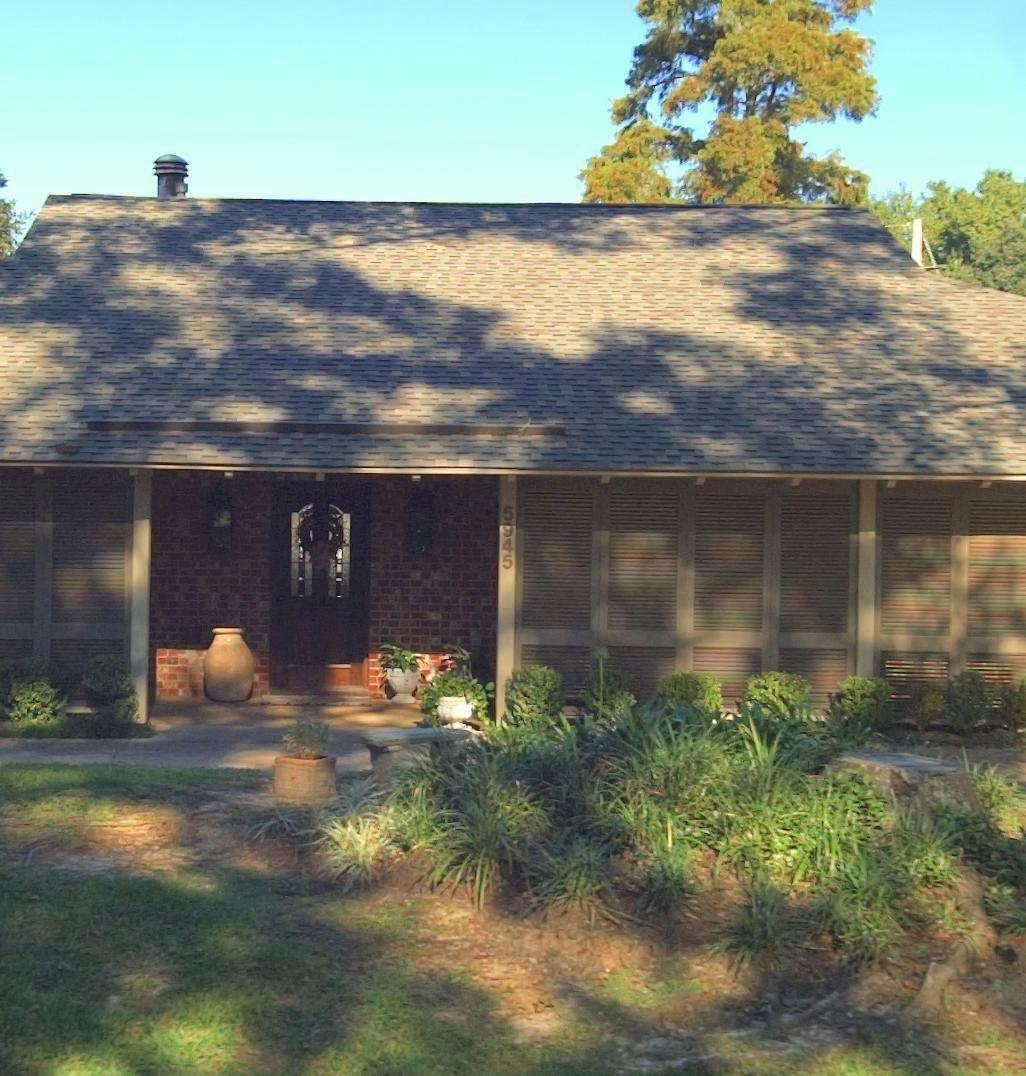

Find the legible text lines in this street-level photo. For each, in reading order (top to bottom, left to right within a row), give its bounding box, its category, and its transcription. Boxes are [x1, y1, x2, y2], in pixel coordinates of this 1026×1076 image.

[499, 503, 517, 573] StreetNumber: 5945